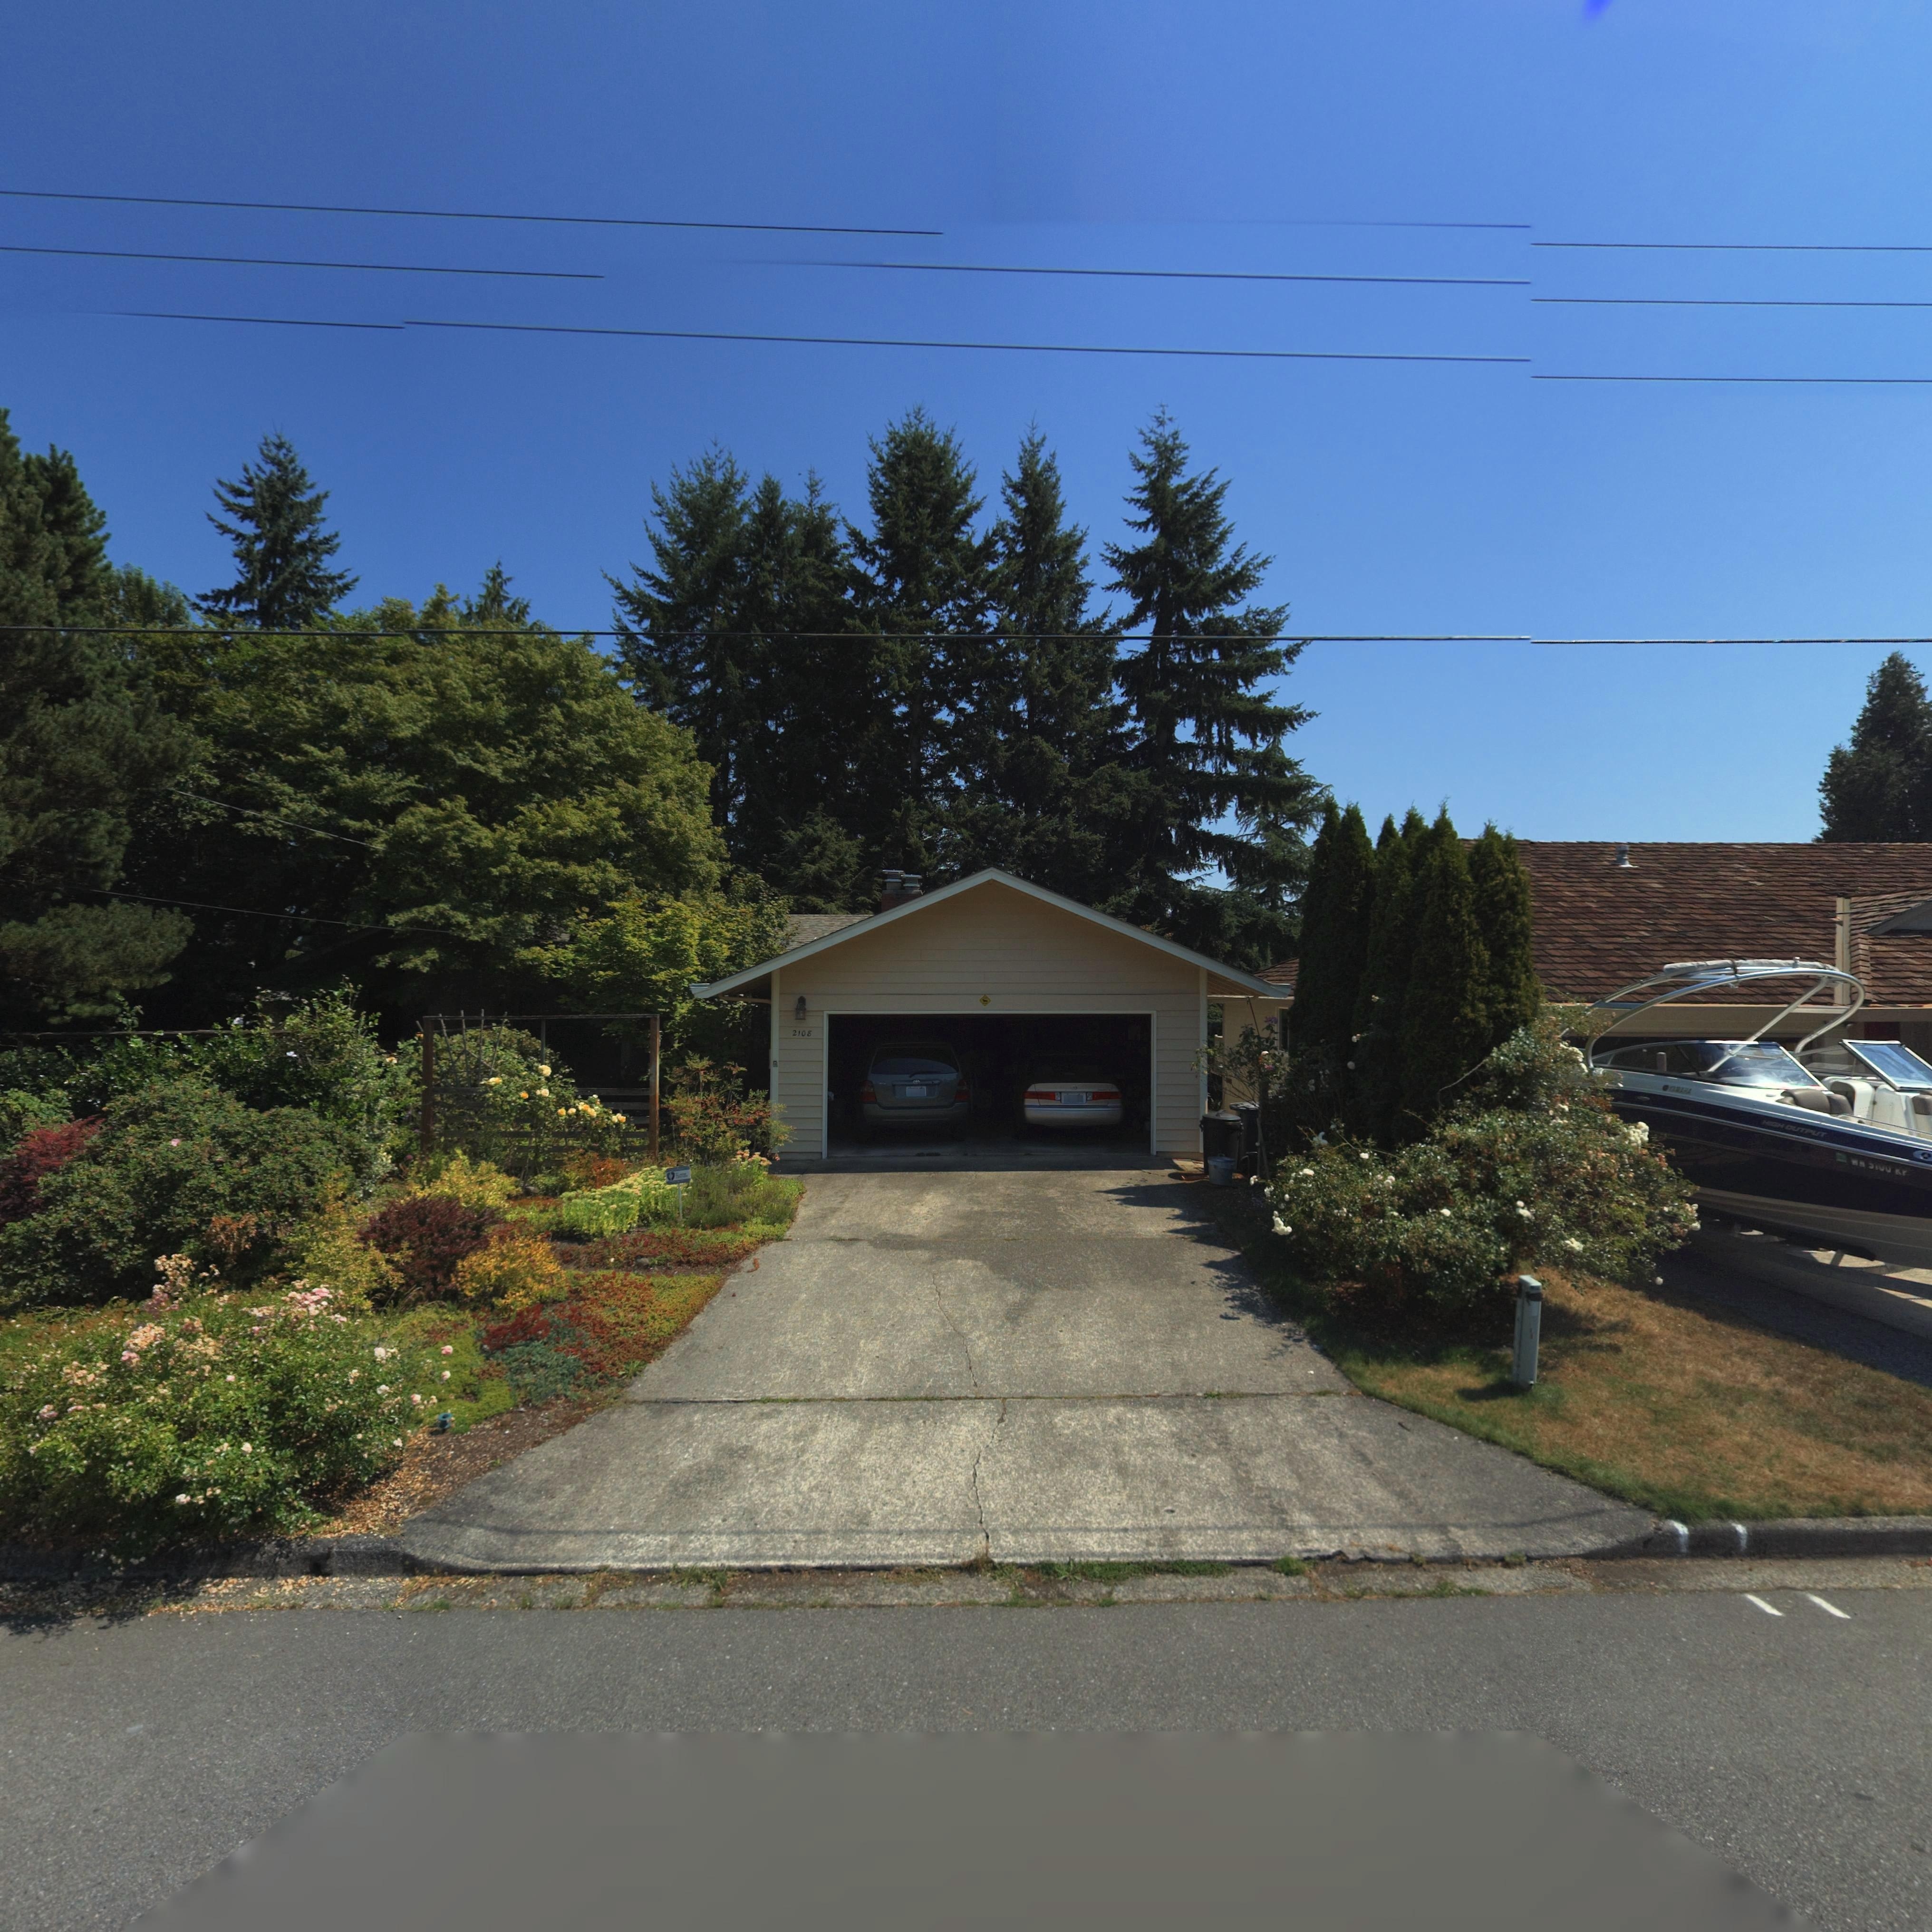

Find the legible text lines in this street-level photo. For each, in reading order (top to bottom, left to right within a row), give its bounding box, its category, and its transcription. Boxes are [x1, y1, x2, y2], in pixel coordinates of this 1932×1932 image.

[792, 1029, 812, 1036] StreetNumber: 2108